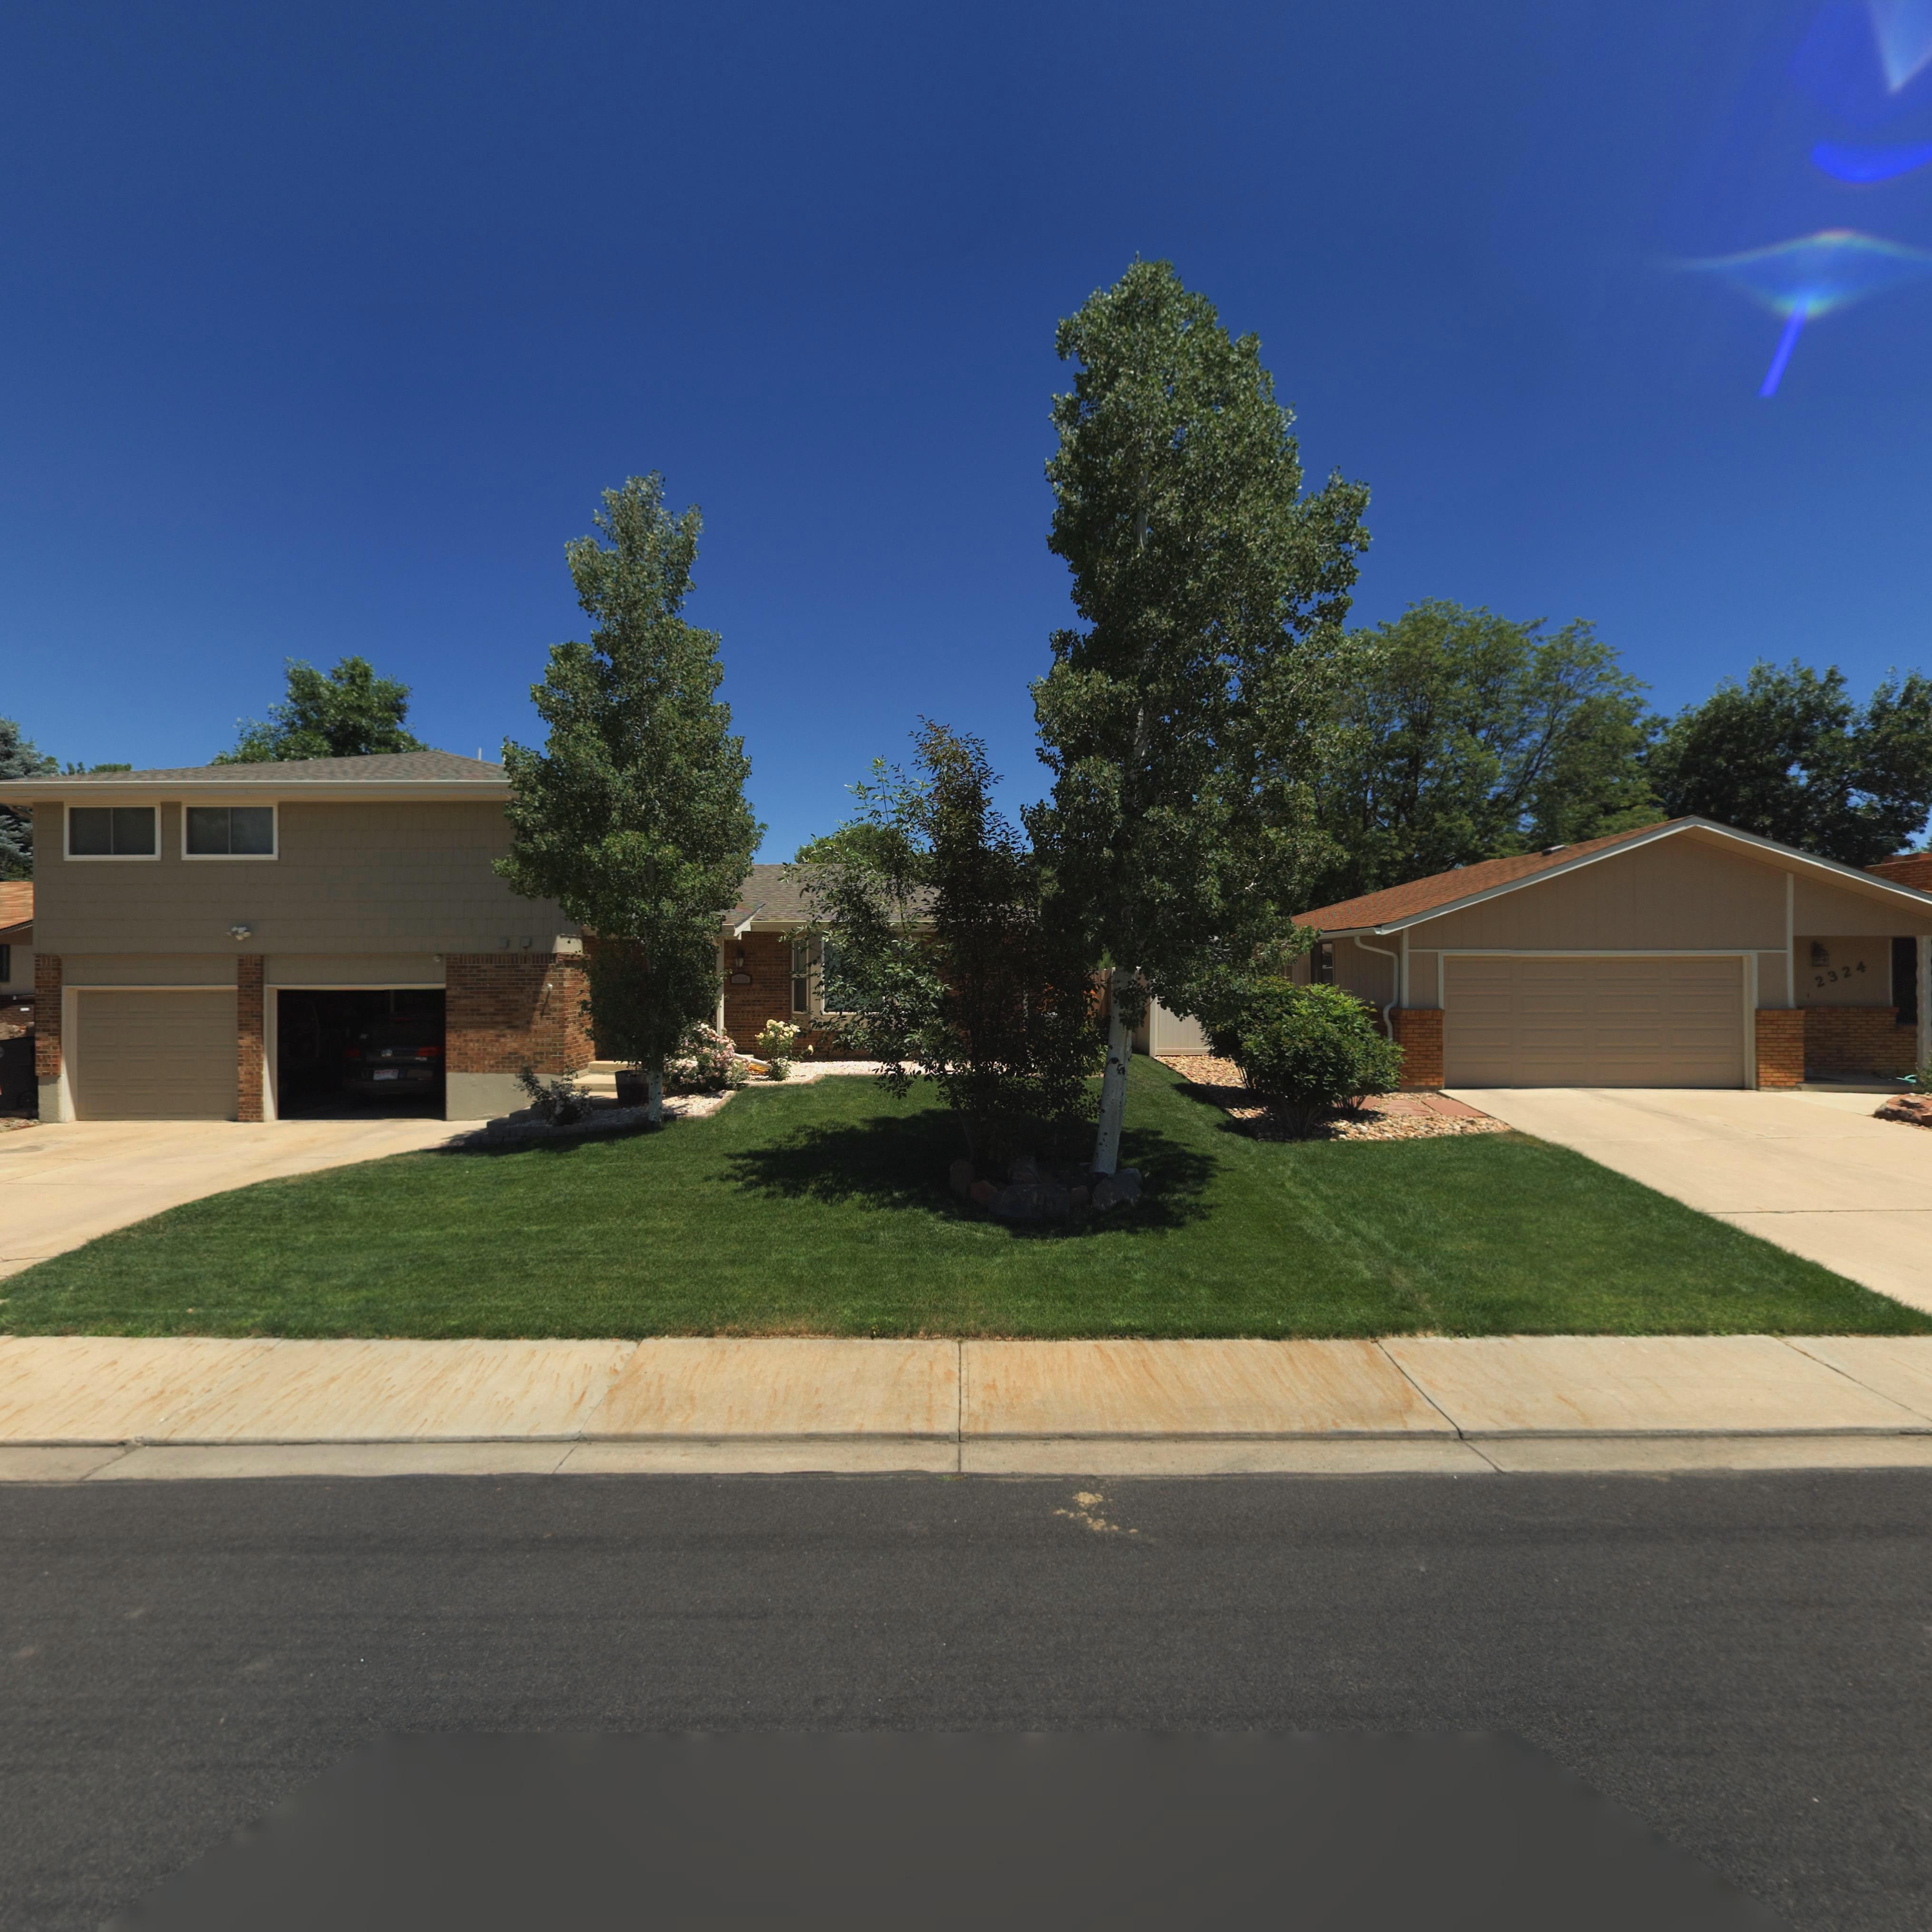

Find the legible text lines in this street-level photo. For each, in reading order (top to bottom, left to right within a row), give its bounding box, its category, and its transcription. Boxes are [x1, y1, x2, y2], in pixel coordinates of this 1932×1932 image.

[733, 975, 748, 982] StreetNumber: 2330
[1814, 960, 1867, 988] StreetNumber: 2324